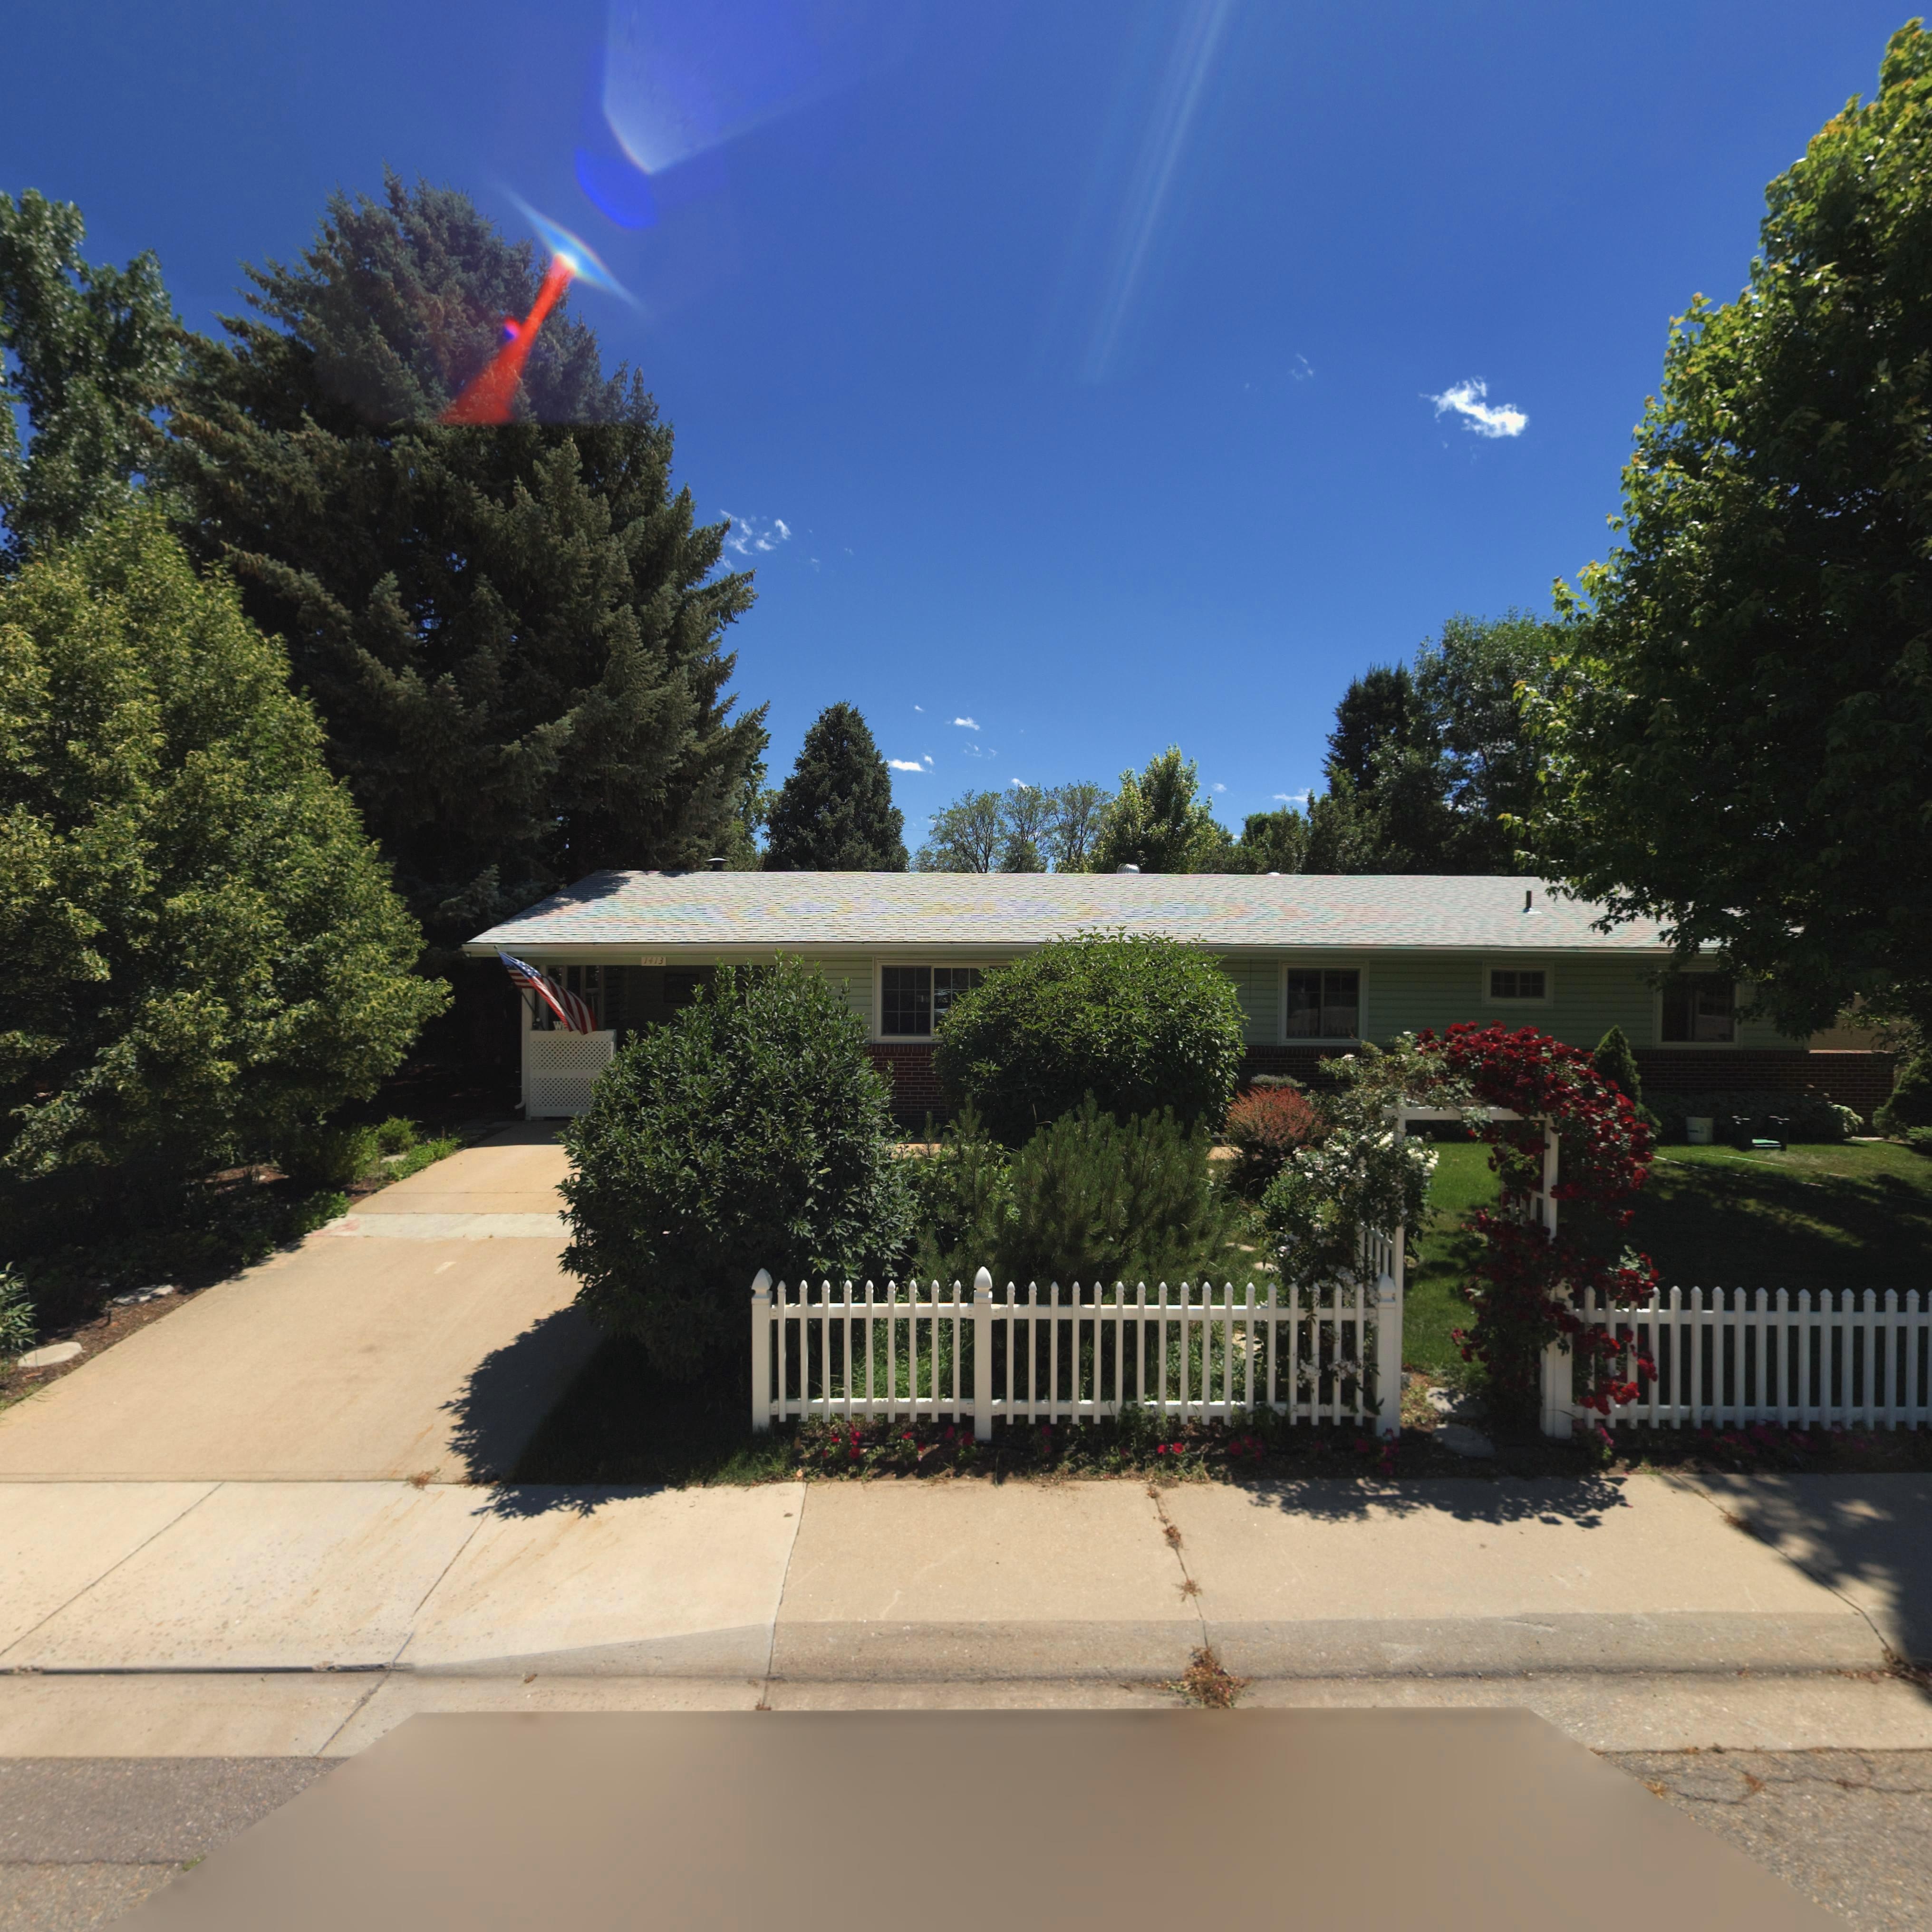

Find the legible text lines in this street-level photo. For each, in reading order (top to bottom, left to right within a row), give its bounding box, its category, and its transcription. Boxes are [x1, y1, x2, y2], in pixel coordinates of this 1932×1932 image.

[644, 957, 664, 964] StreetNumber: 1413